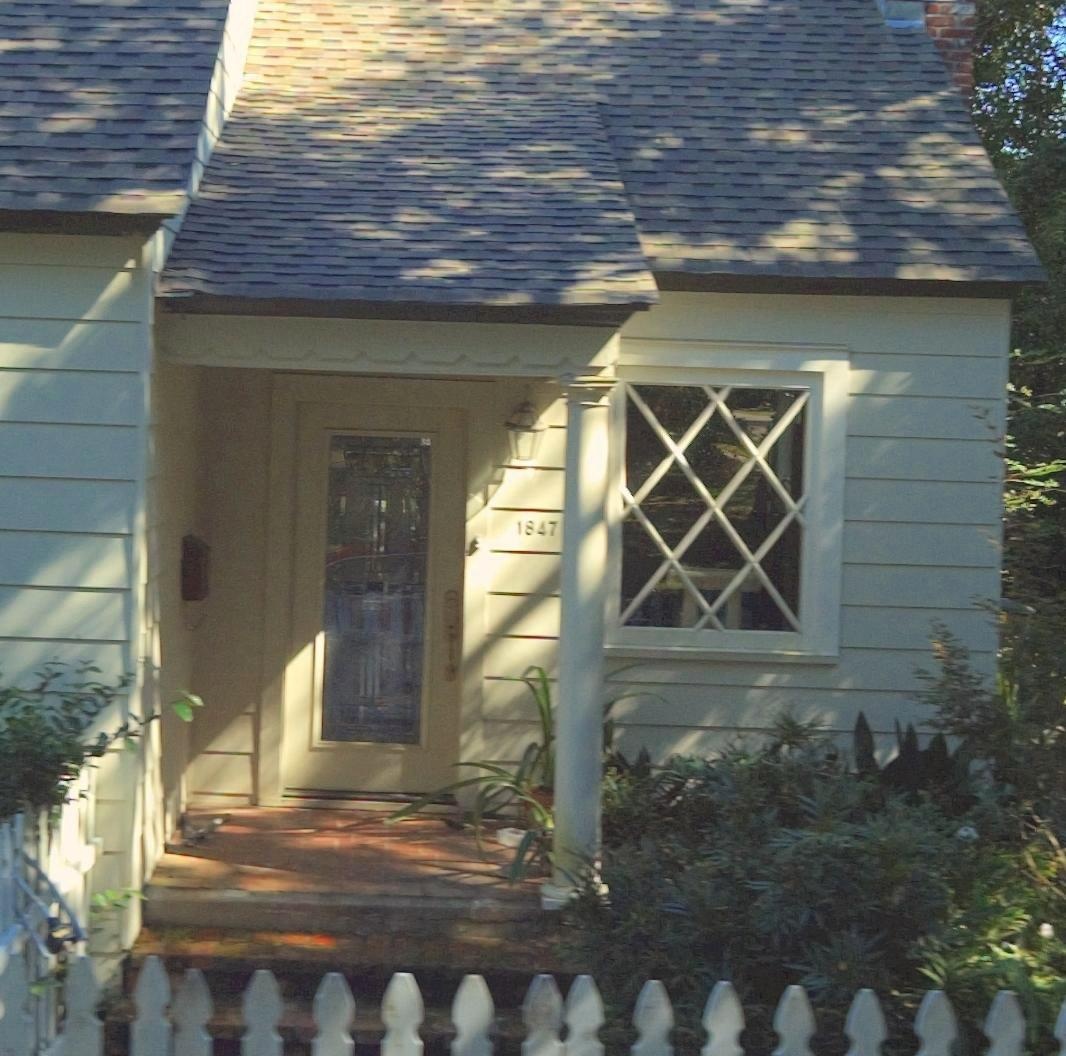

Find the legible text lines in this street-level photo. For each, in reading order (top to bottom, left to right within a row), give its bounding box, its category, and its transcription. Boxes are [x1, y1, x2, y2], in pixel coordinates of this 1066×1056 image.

[515, 518, 561, 538] StreetNumber: 1847